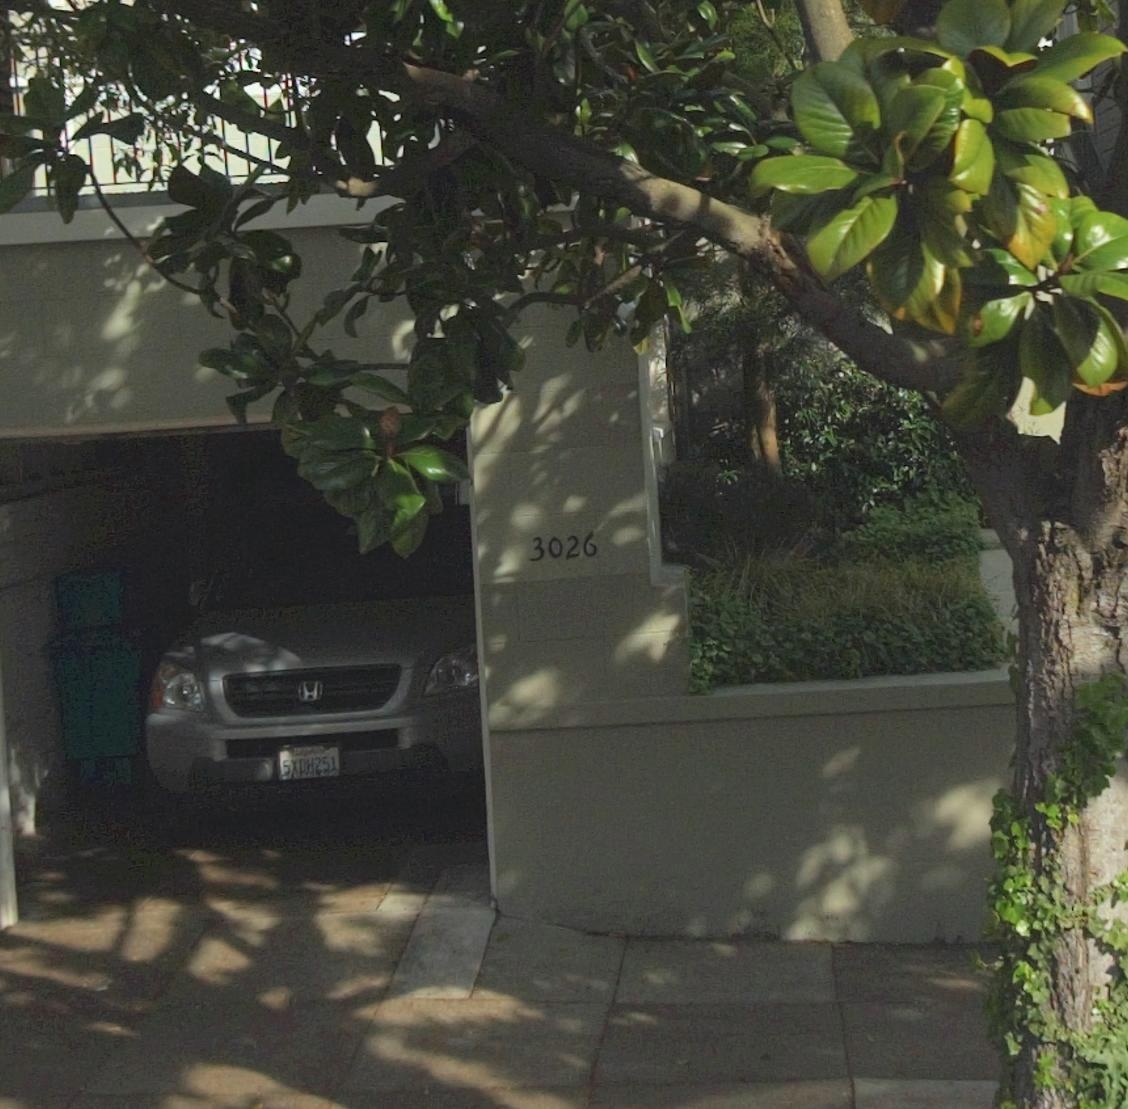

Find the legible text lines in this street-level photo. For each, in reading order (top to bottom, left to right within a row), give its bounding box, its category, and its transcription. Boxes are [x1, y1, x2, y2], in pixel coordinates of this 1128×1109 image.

[527, 528, 601, 565] StreetNumber: 3026
[301, 679, 320, 703] None: H
[280, 753, 339, 779] None: 5XDH251